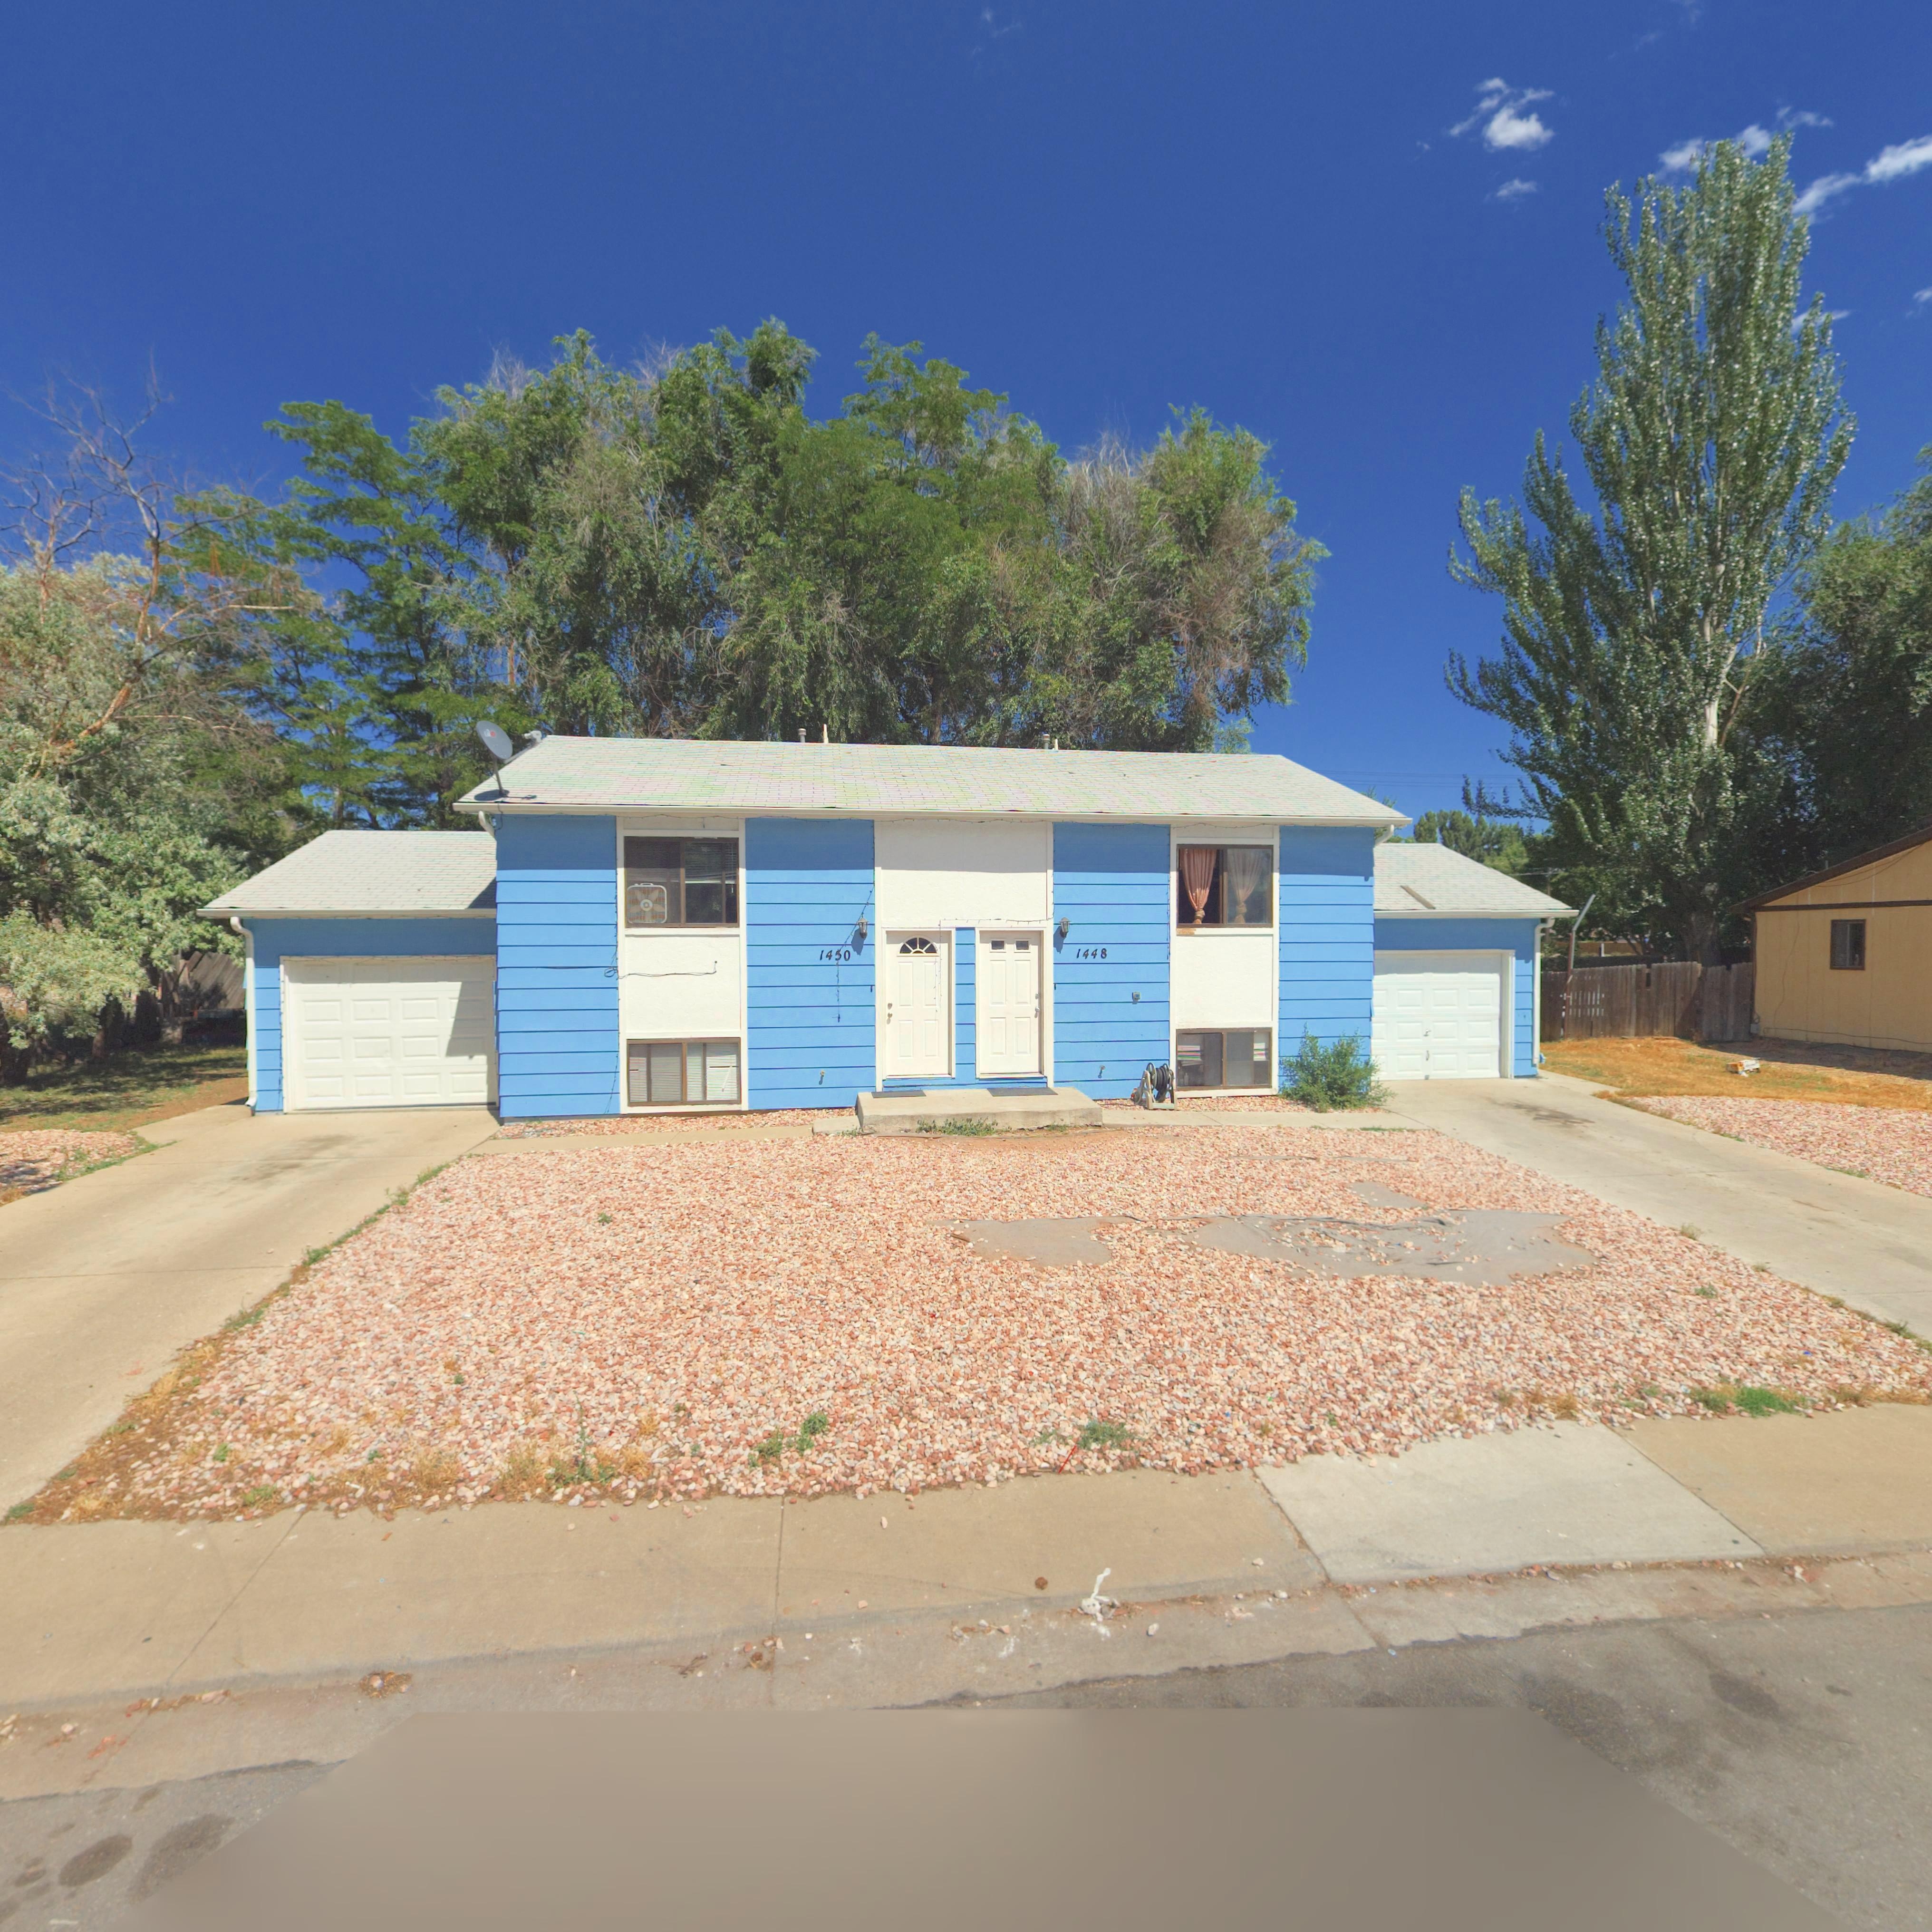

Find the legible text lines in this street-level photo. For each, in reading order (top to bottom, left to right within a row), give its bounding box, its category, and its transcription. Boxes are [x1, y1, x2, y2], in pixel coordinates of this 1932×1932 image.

[819, 949, 850, 962] StreetNumber: 1450
[1075, 948, 1107, 960] StreetNumber: 1448